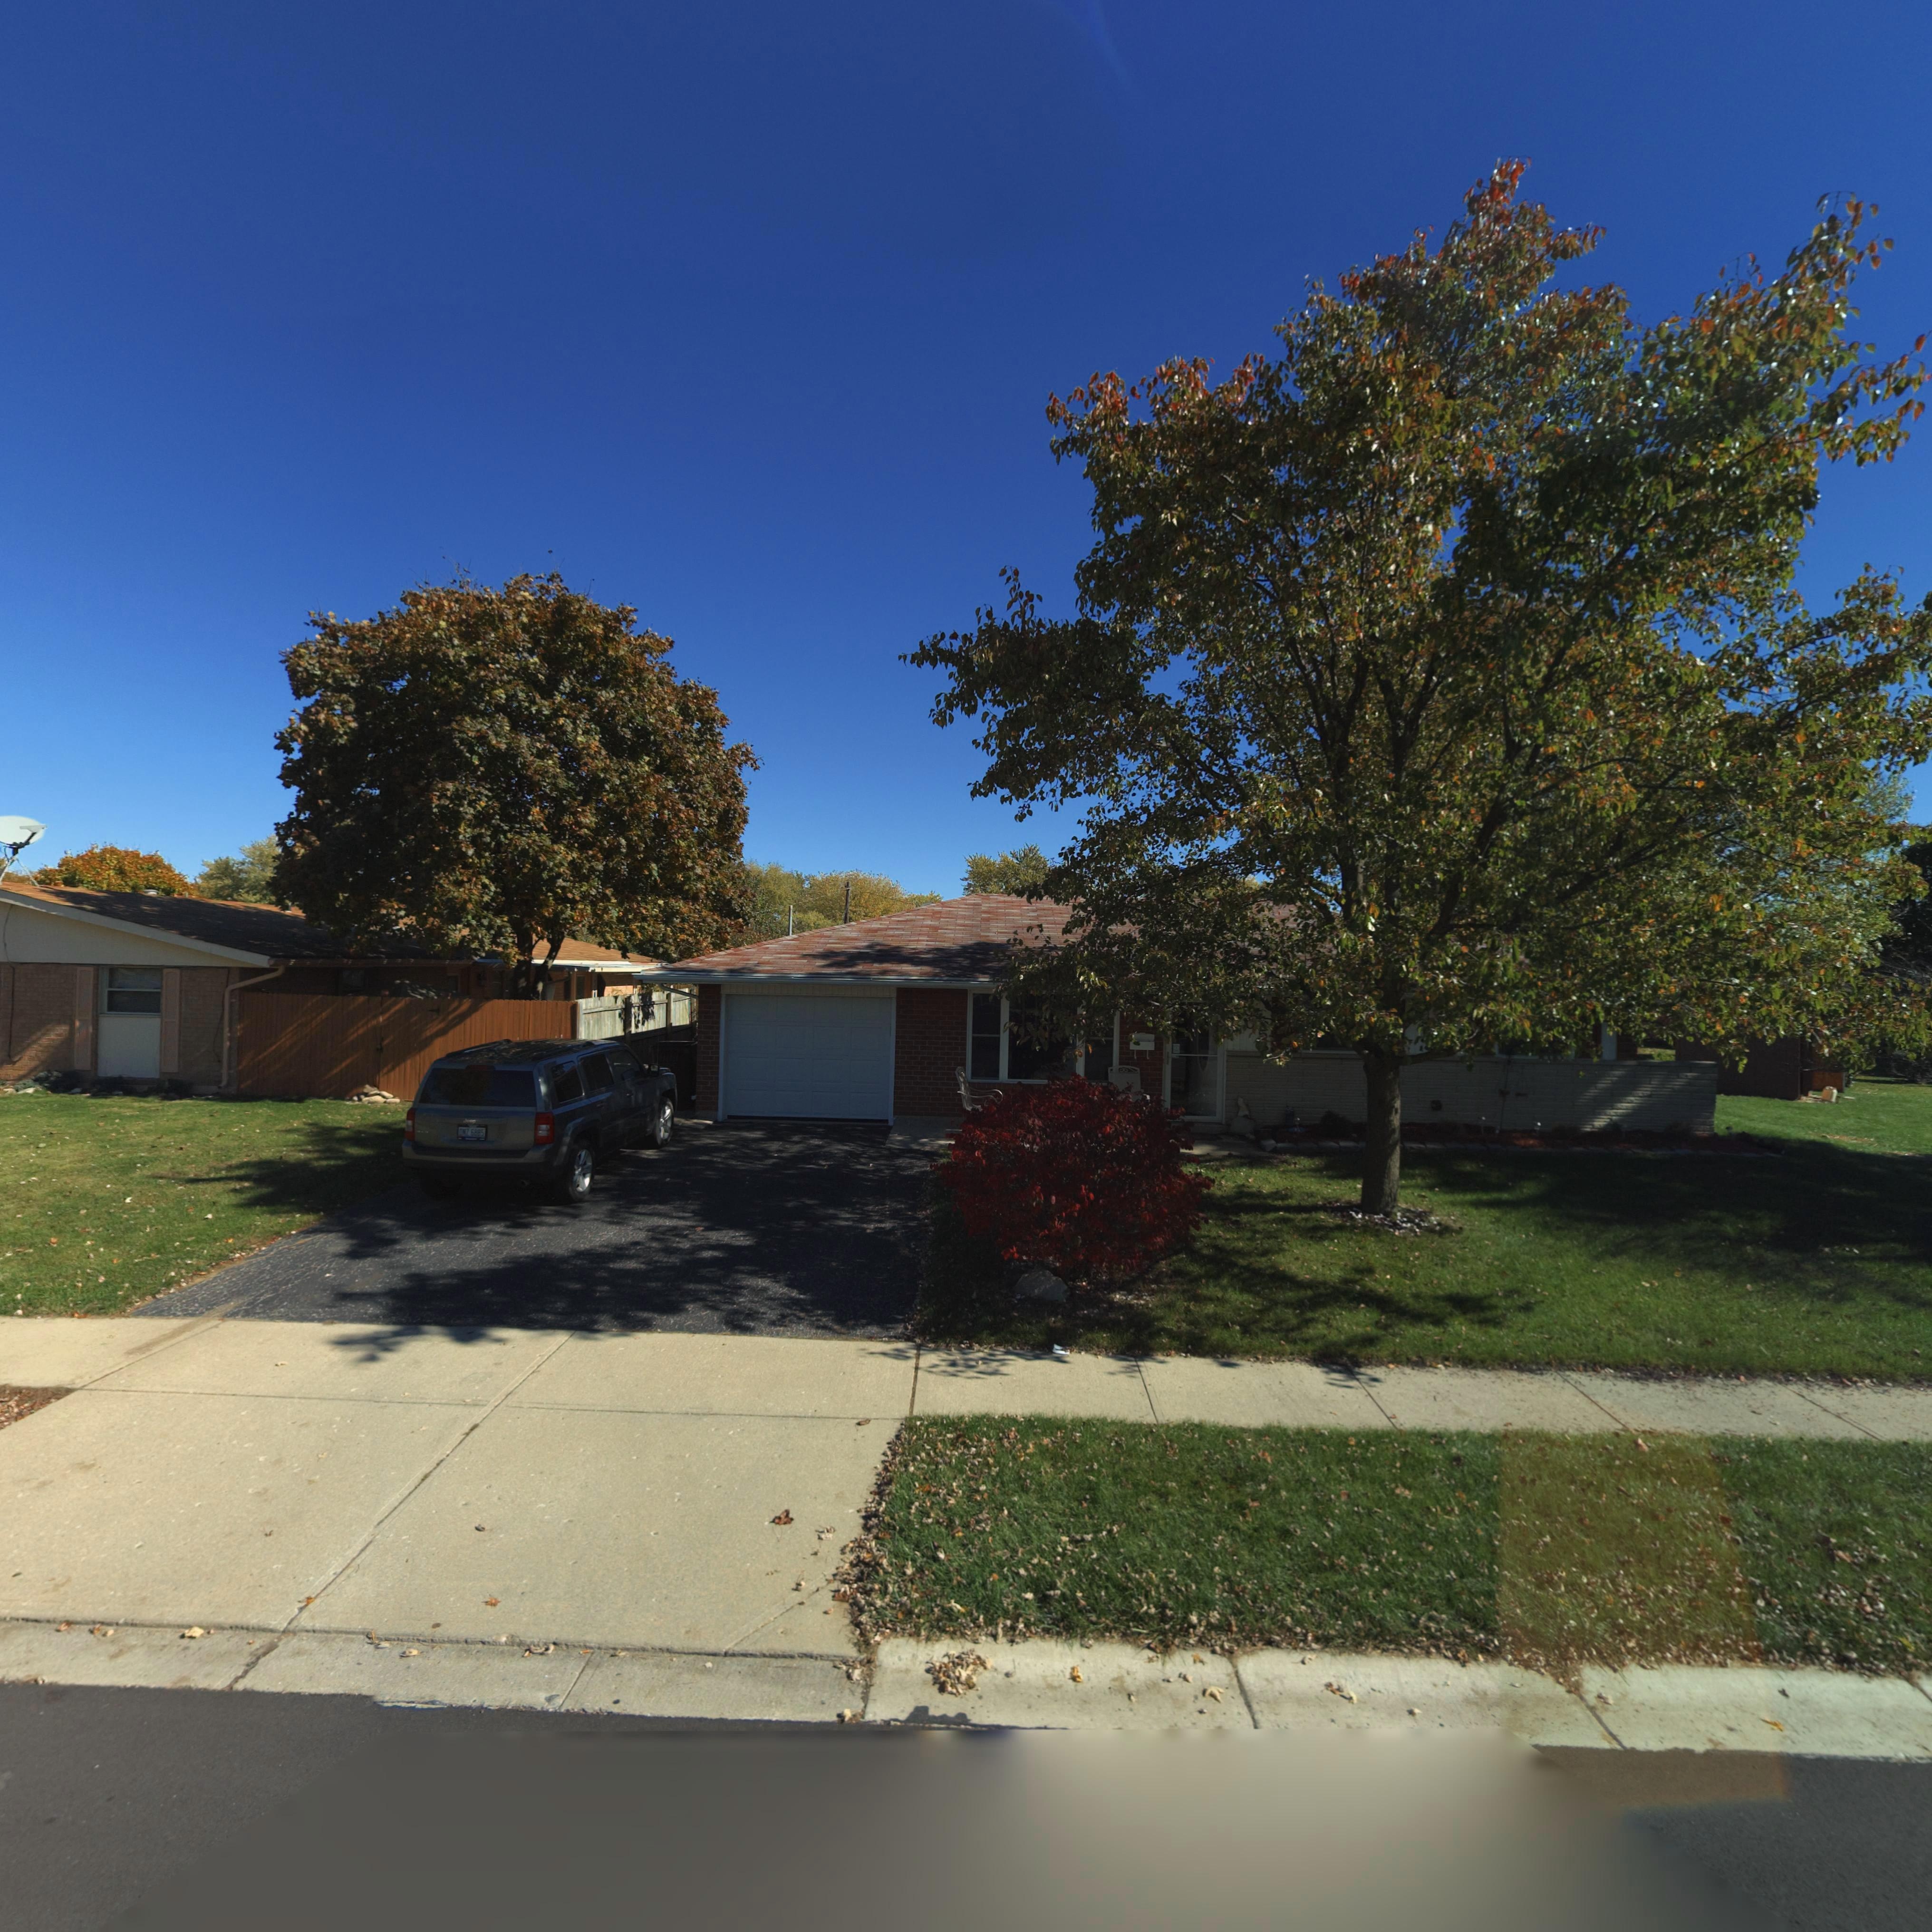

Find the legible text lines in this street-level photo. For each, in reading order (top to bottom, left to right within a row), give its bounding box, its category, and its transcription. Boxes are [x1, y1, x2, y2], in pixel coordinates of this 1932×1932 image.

[1257, 1028, 1268, 1040] StreetNumber: 5